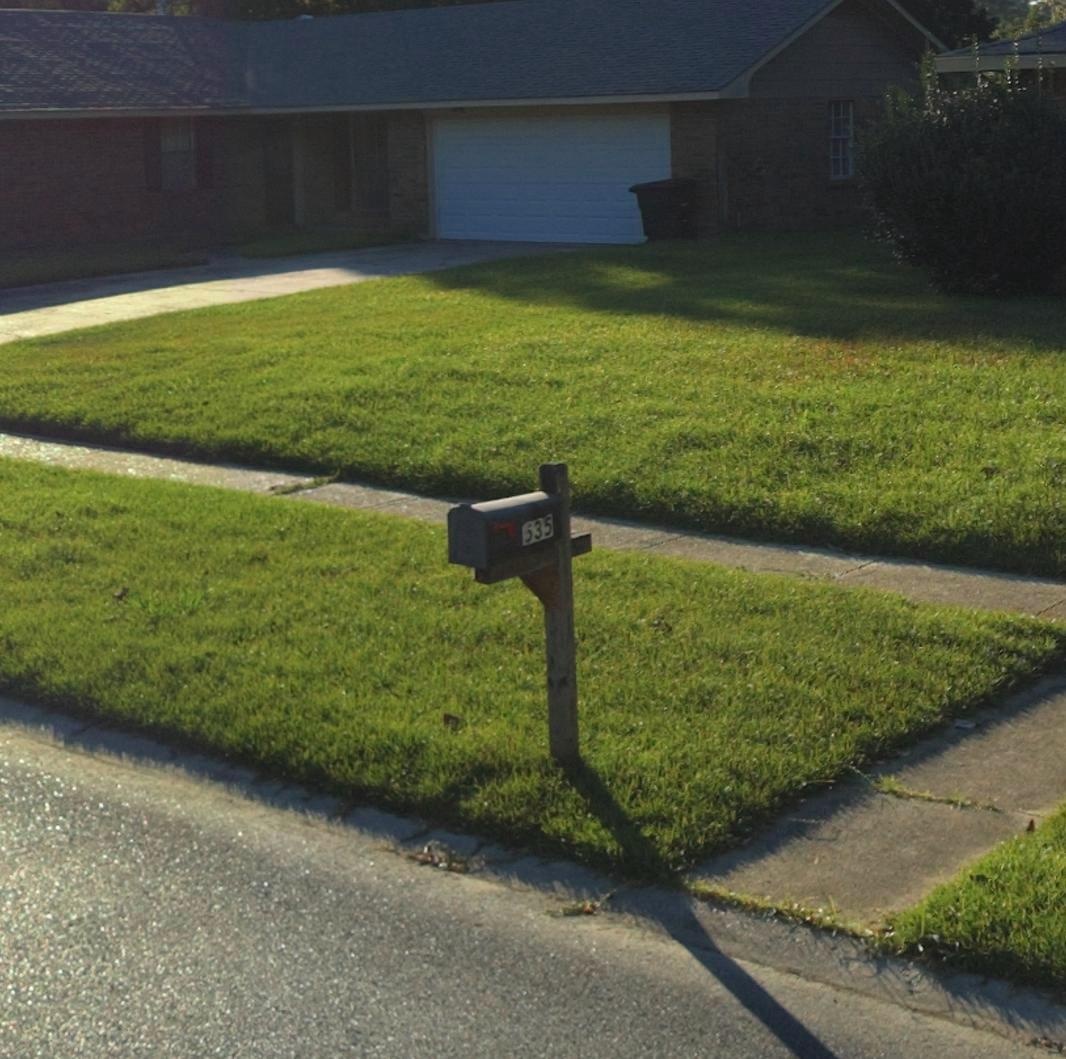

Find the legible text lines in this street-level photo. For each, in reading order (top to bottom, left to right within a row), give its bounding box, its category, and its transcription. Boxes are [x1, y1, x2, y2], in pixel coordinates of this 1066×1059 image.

[522, 514, 553, 545] StreetNumber: 535